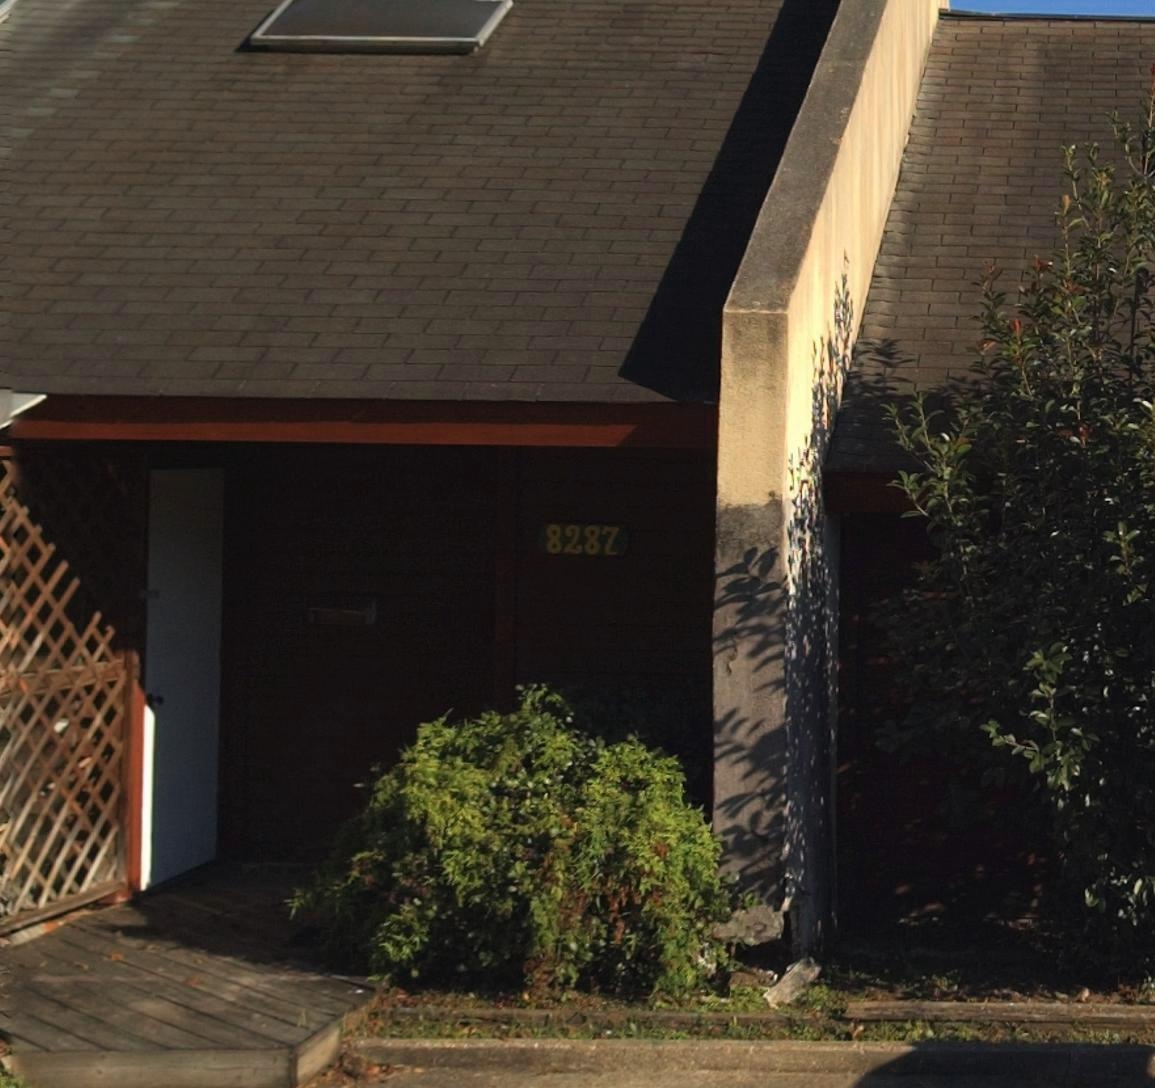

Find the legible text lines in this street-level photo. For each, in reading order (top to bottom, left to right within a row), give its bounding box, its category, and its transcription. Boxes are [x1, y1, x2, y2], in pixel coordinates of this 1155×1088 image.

[544, 523, 621, 555] StreetNumber: 8287